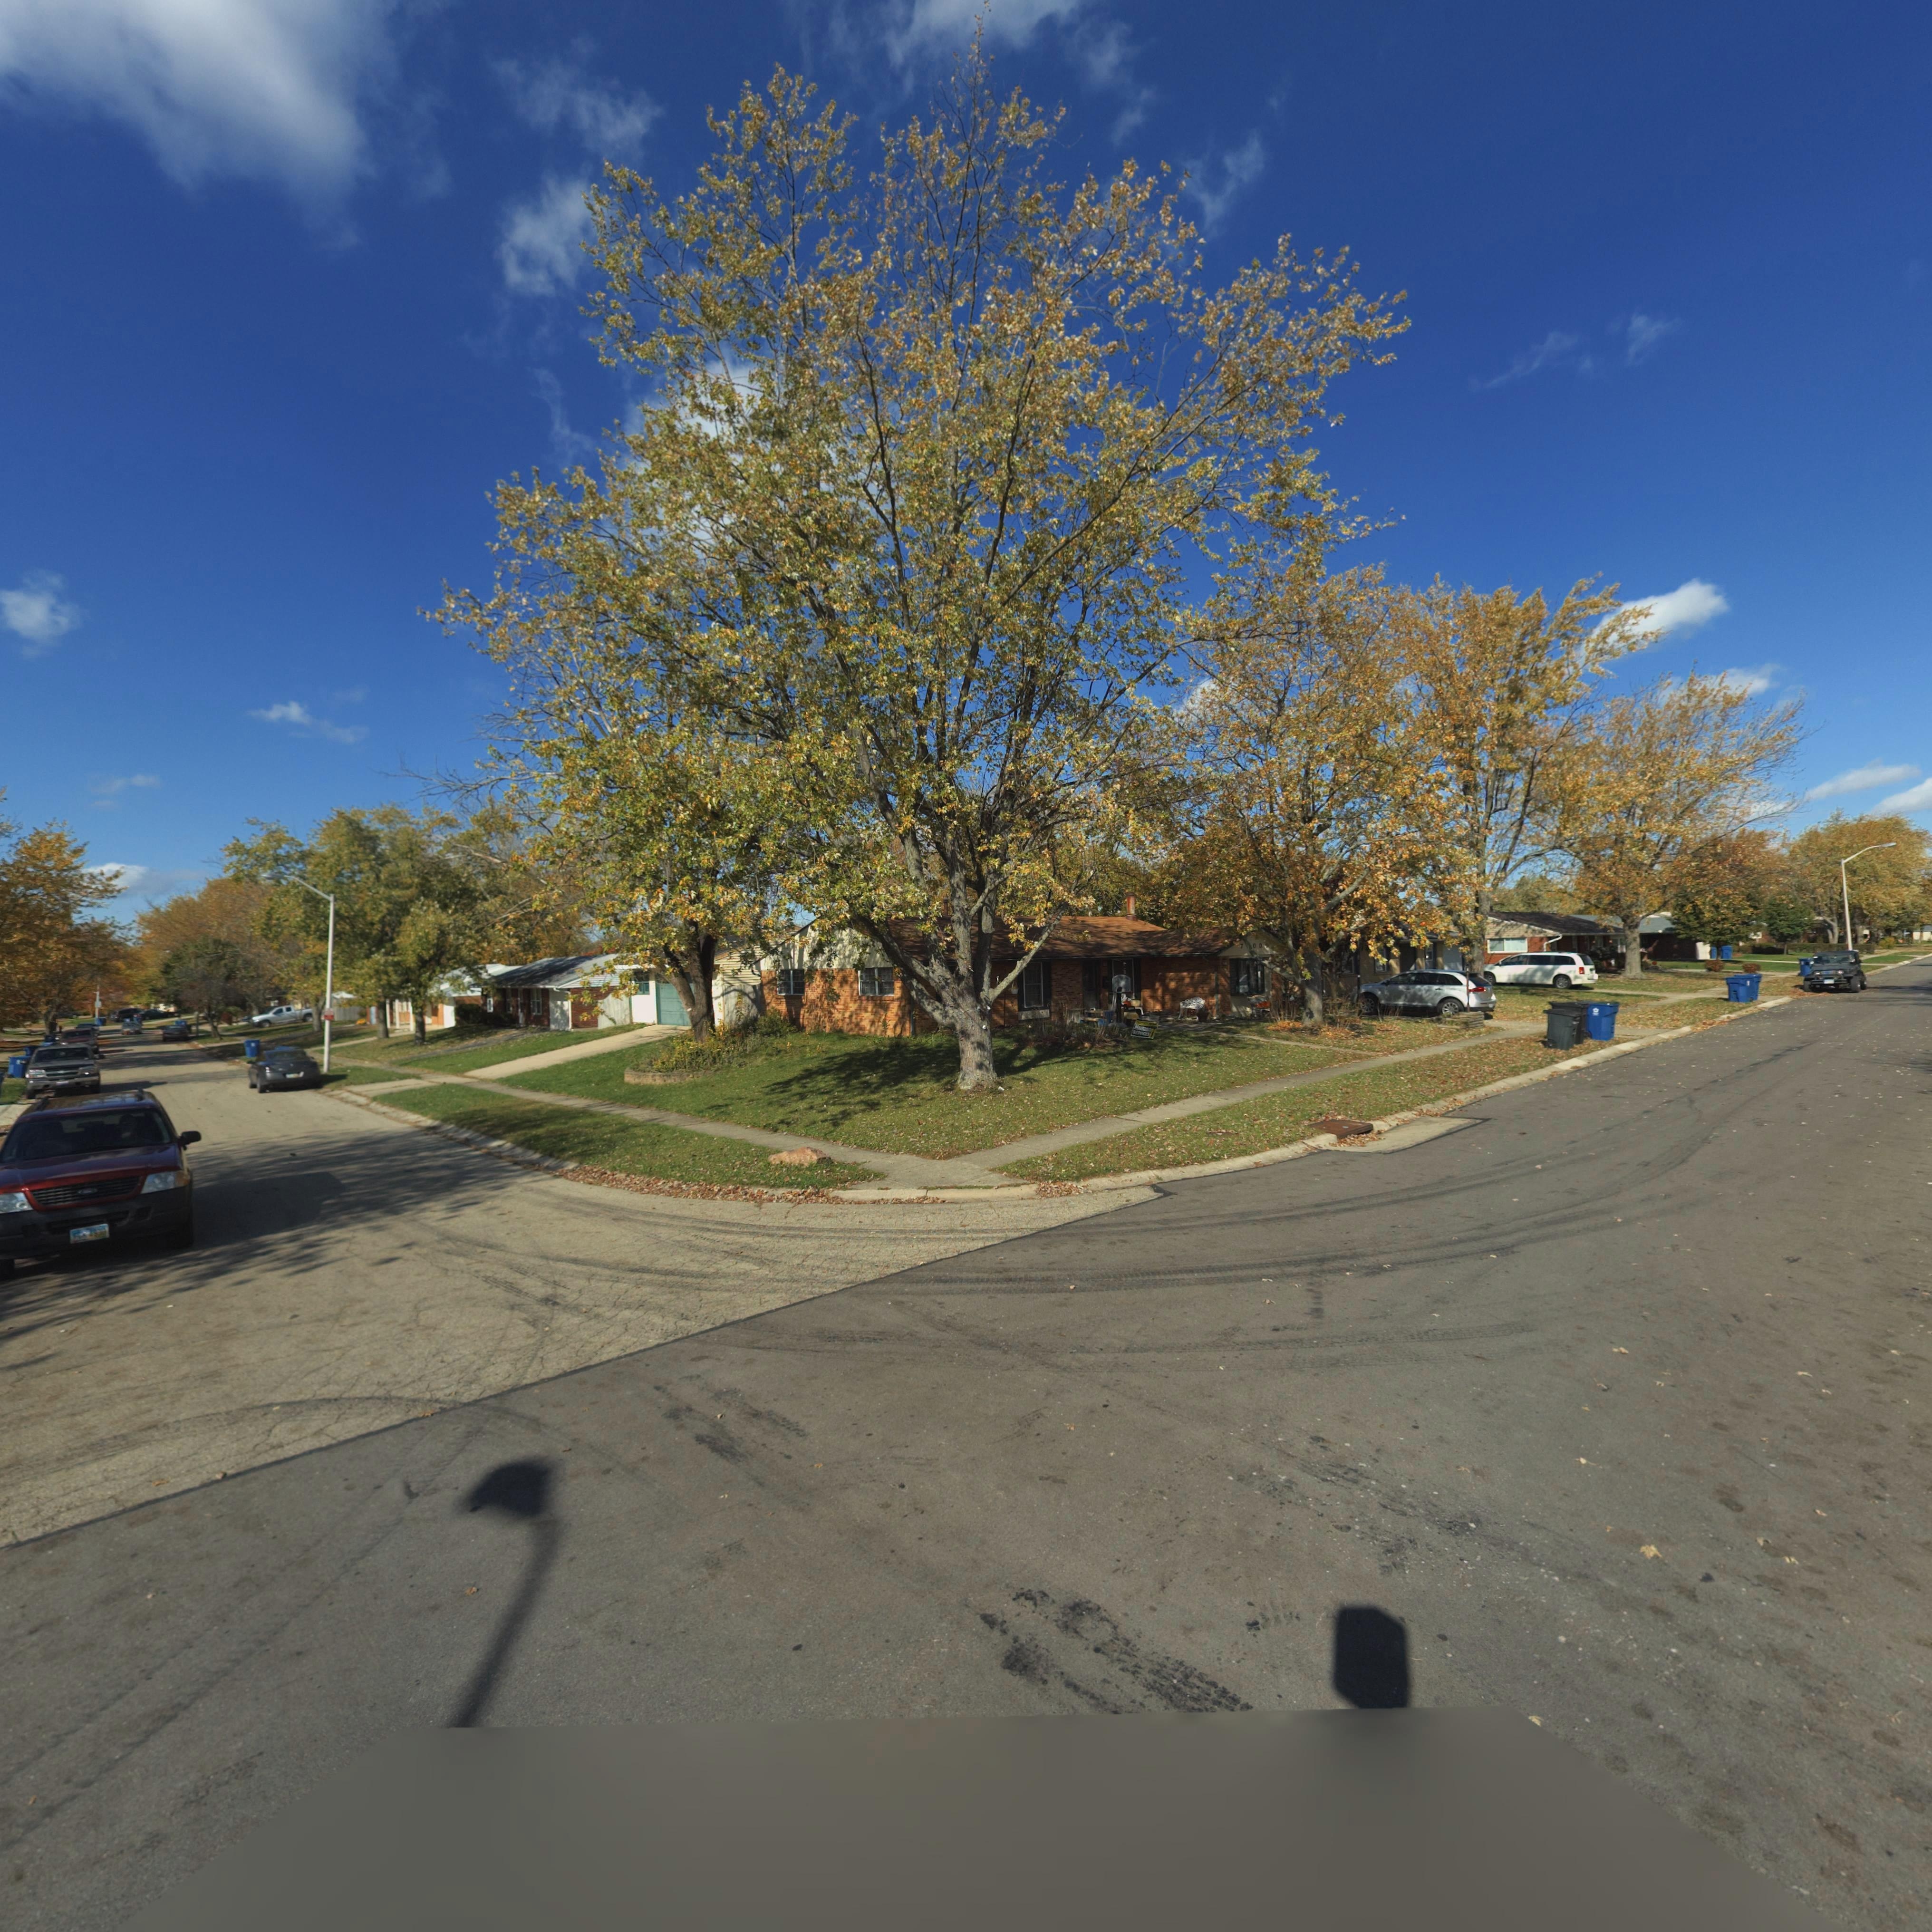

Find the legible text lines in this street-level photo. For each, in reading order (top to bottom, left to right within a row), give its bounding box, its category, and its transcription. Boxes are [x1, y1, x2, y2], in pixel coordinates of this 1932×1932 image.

[1239, 942, 1264, 950] StreetNumber: 7*00